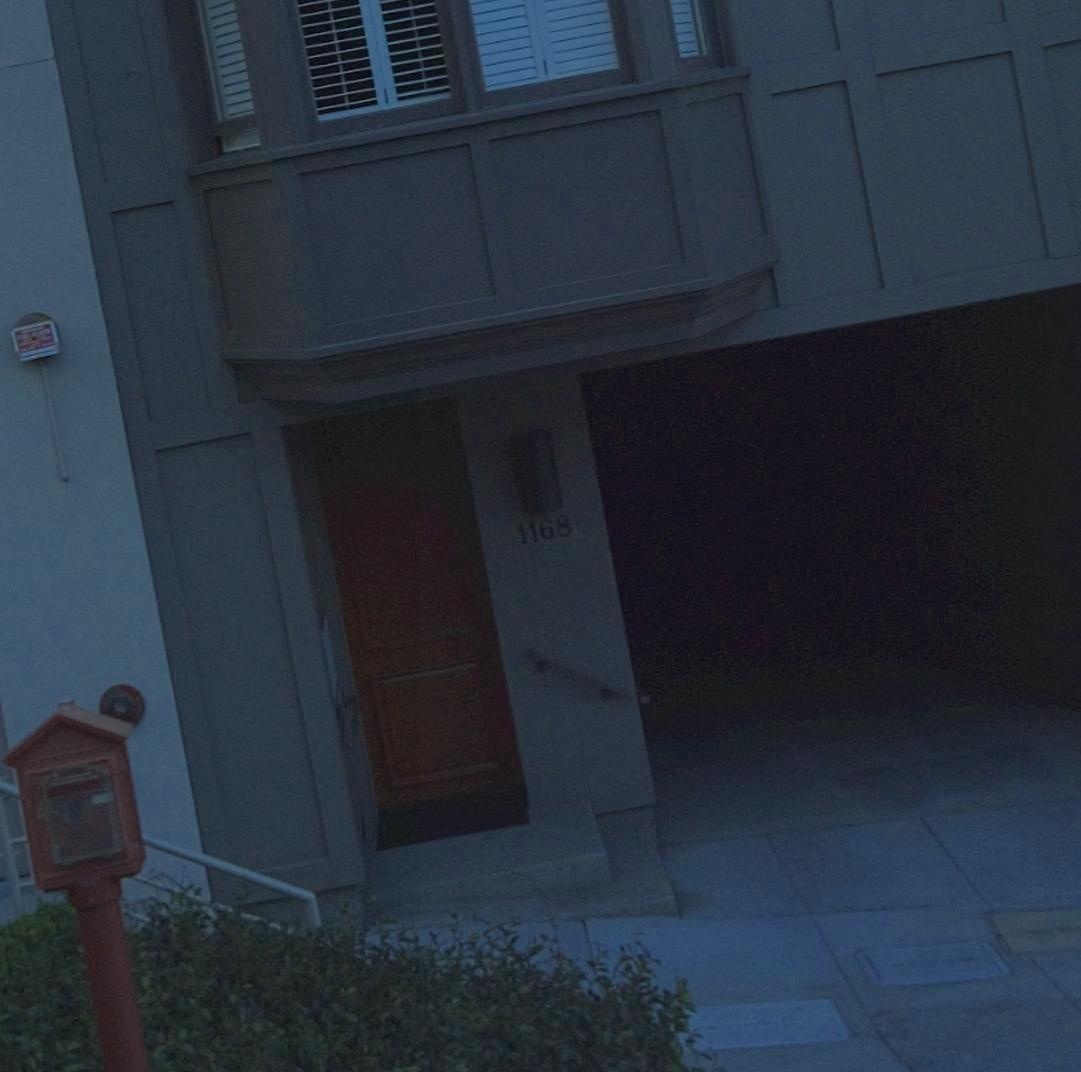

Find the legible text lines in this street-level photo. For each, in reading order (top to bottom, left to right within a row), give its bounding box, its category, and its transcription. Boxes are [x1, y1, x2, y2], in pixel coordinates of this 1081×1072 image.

[511, 512, 575, 550] StreetNumber: 1168